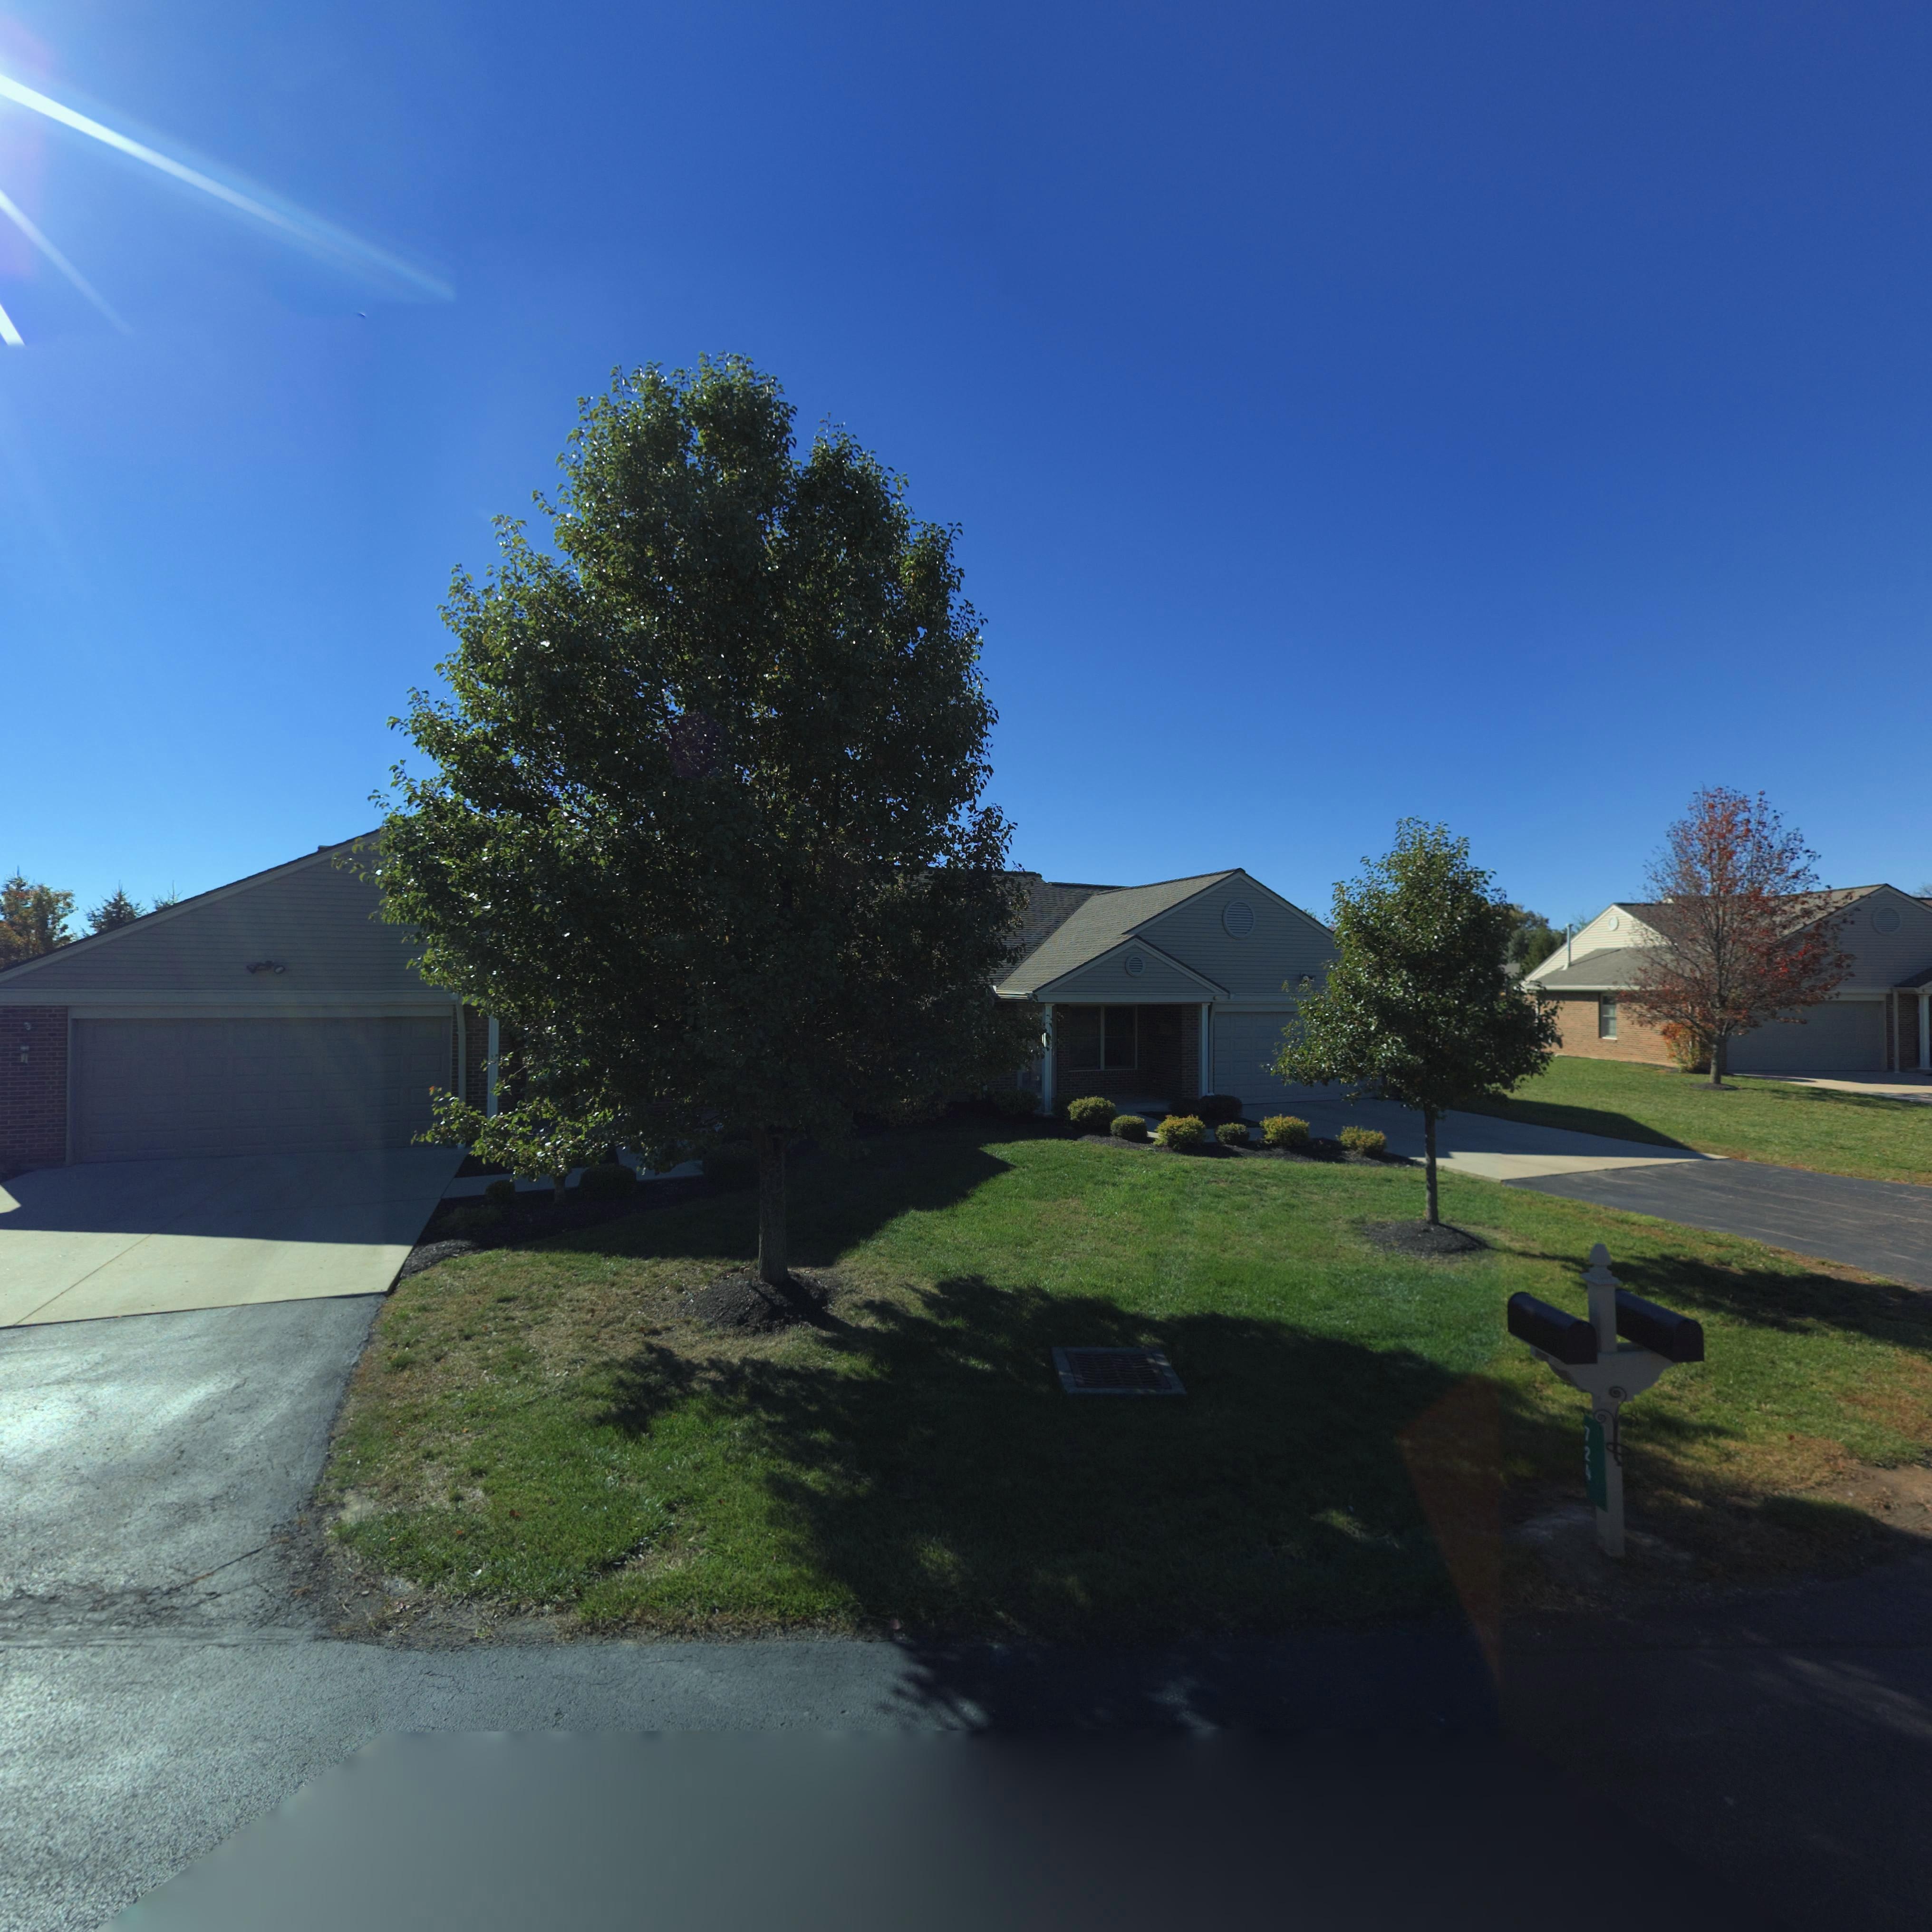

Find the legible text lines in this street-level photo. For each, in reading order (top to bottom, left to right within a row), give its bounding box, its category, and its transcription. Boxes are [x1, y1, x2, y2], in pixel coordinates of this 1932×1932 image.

[1584, 1423, 1593, 1482] StreetNumber: 724